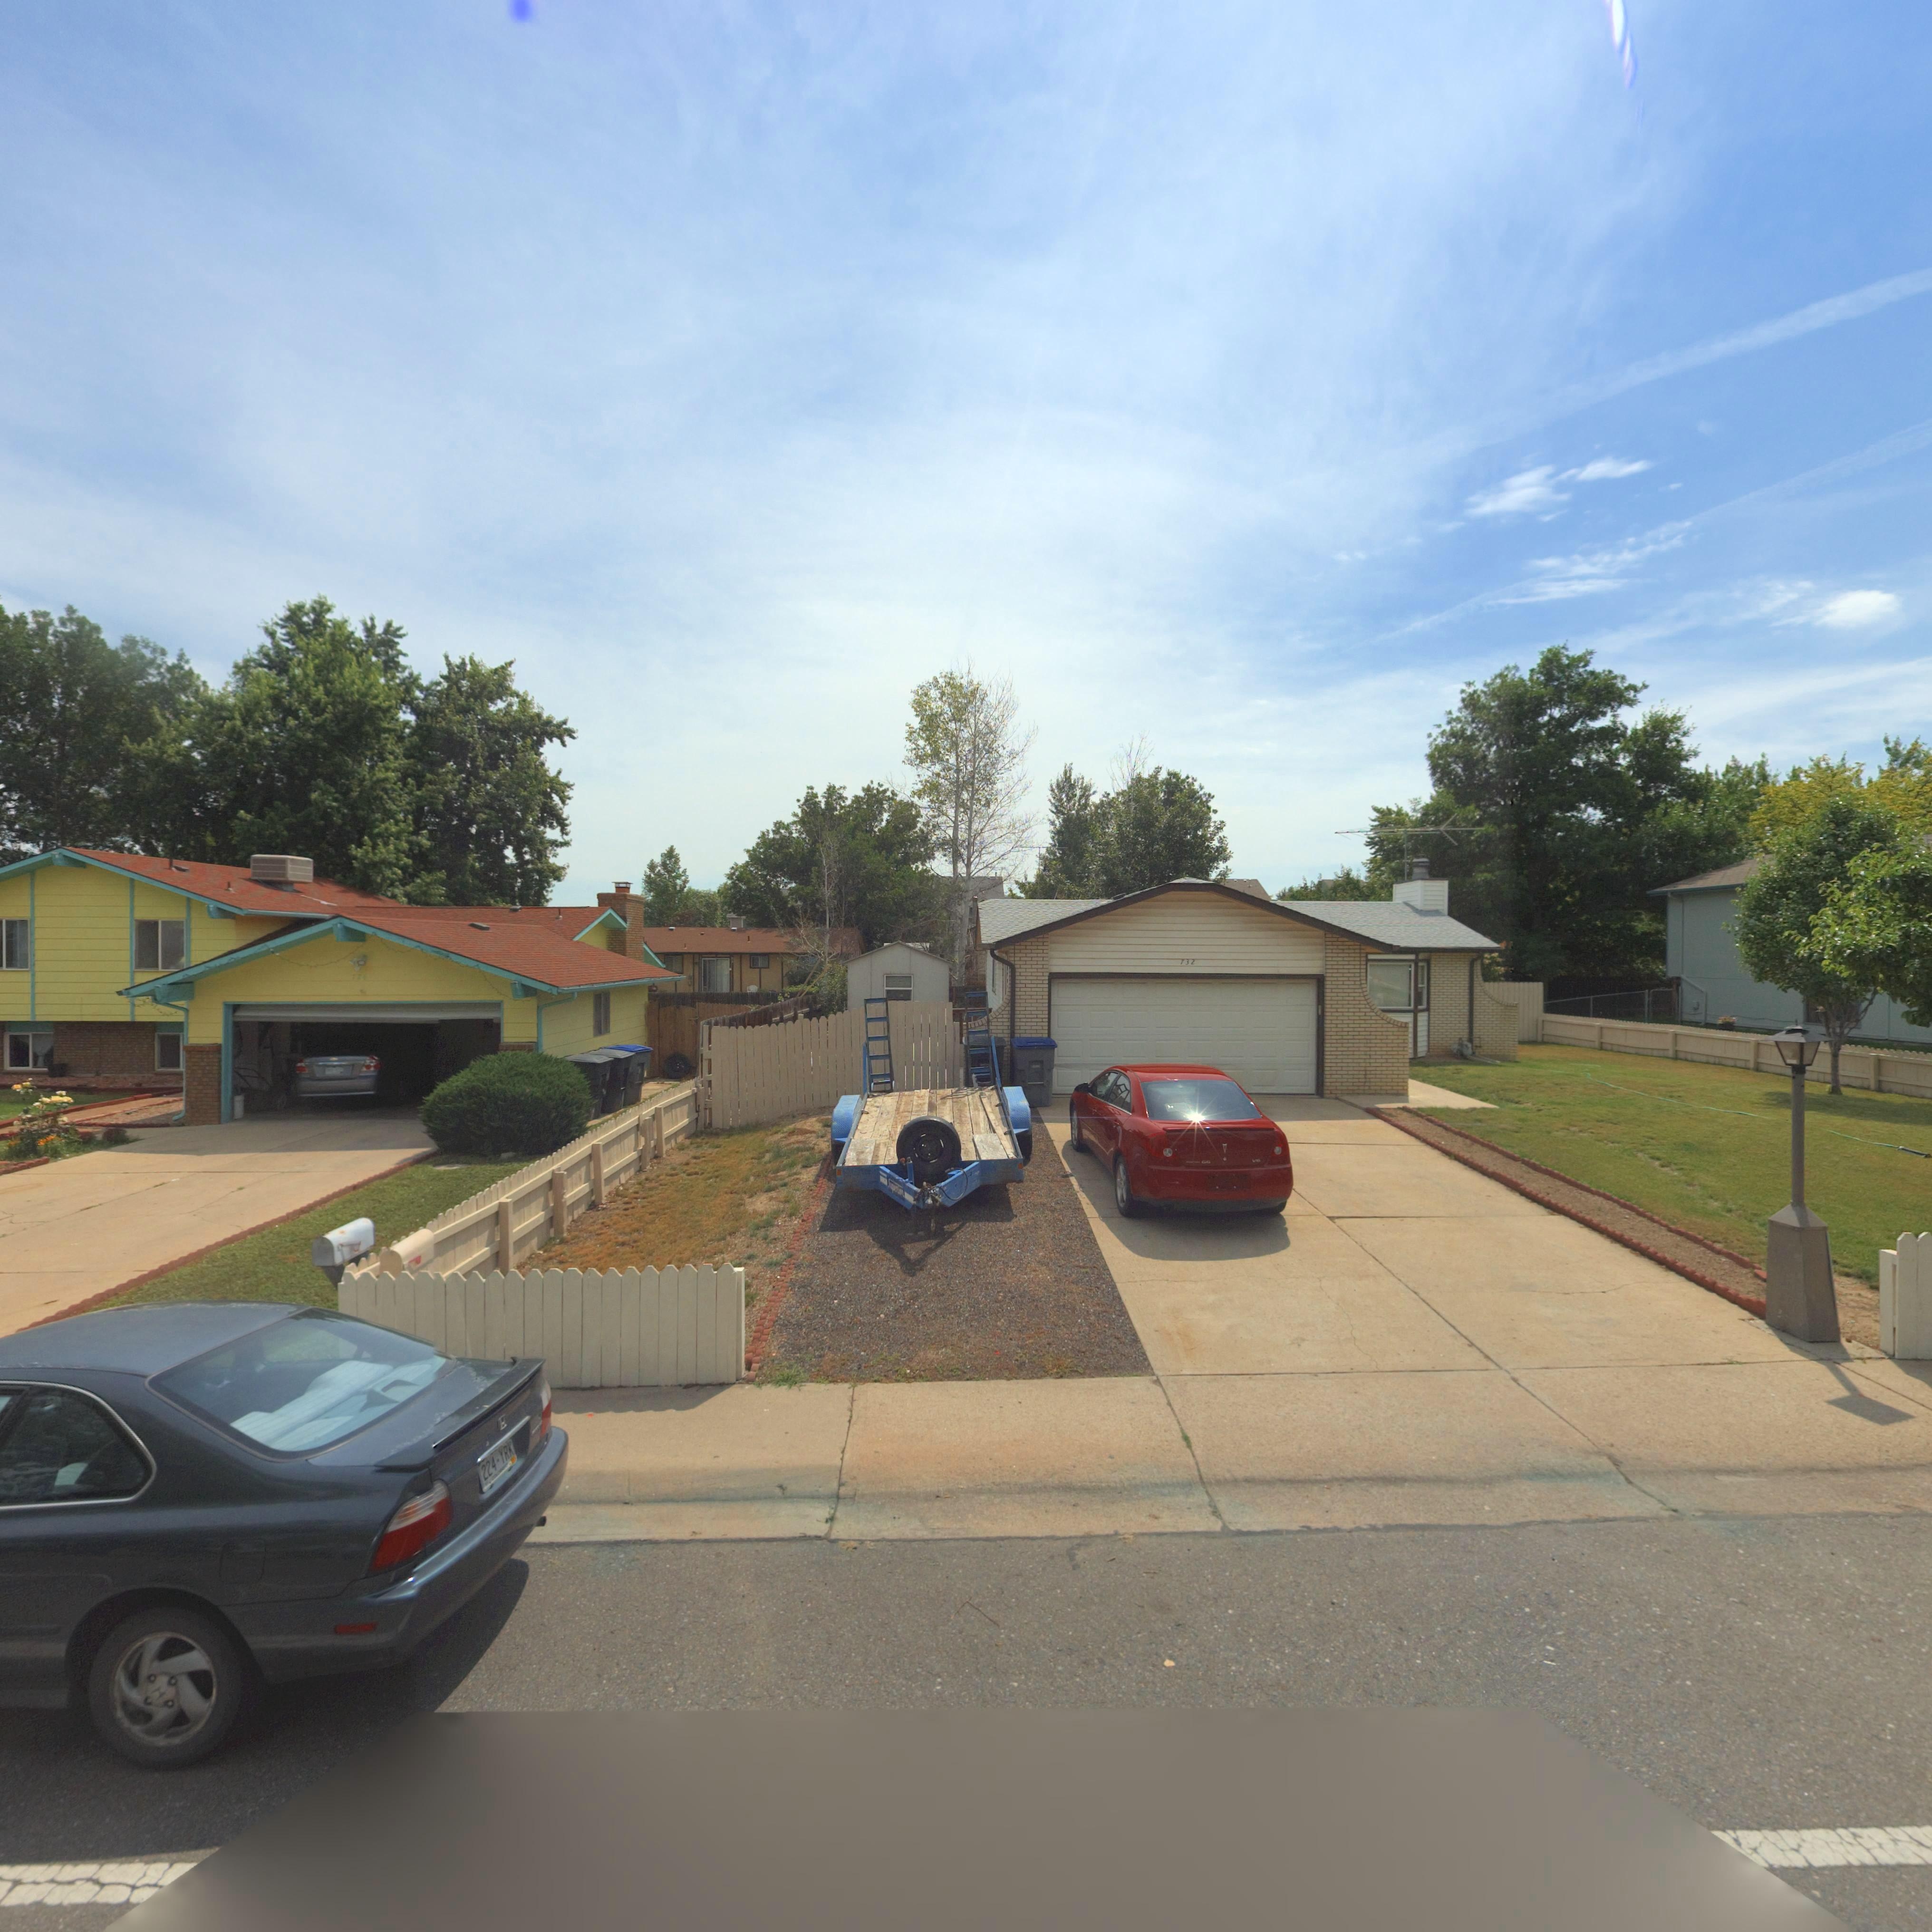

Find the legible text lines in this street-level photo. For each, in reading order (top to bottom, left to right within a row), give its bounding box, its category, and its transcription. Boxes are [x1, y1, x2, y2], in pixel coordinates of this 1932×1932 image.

[1180, 959, 1195, 965] StreetNumber: 732
[351, 974, 367, 981] StreetNumber: 72*